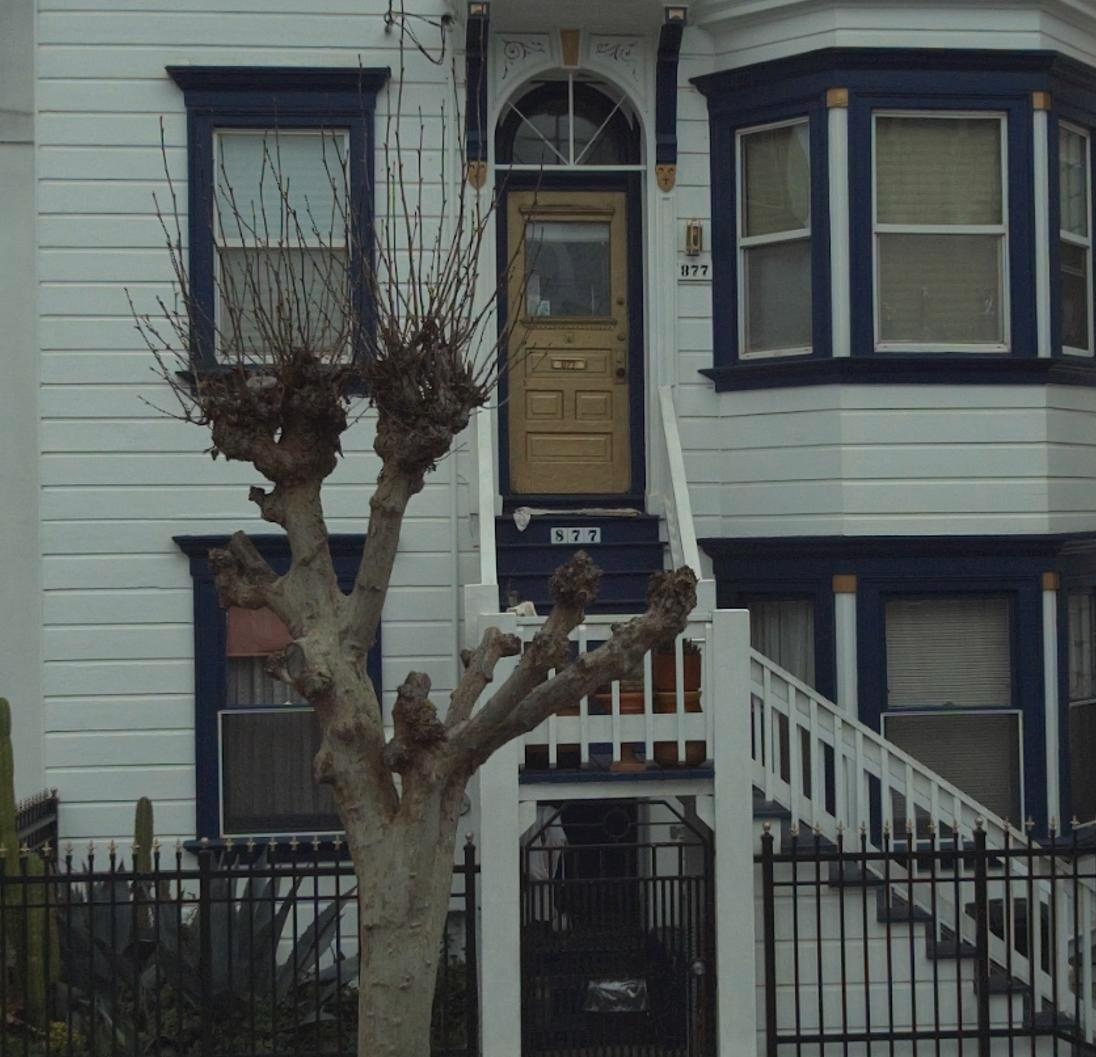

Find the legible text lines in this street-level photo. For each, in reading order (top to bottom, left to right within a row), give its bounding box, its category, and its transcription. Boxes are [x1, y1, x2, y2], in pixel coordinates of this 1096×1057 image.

[679, 262, 710, 278] None: 877
[551, 528, 600, 543] StreetNumber: 877